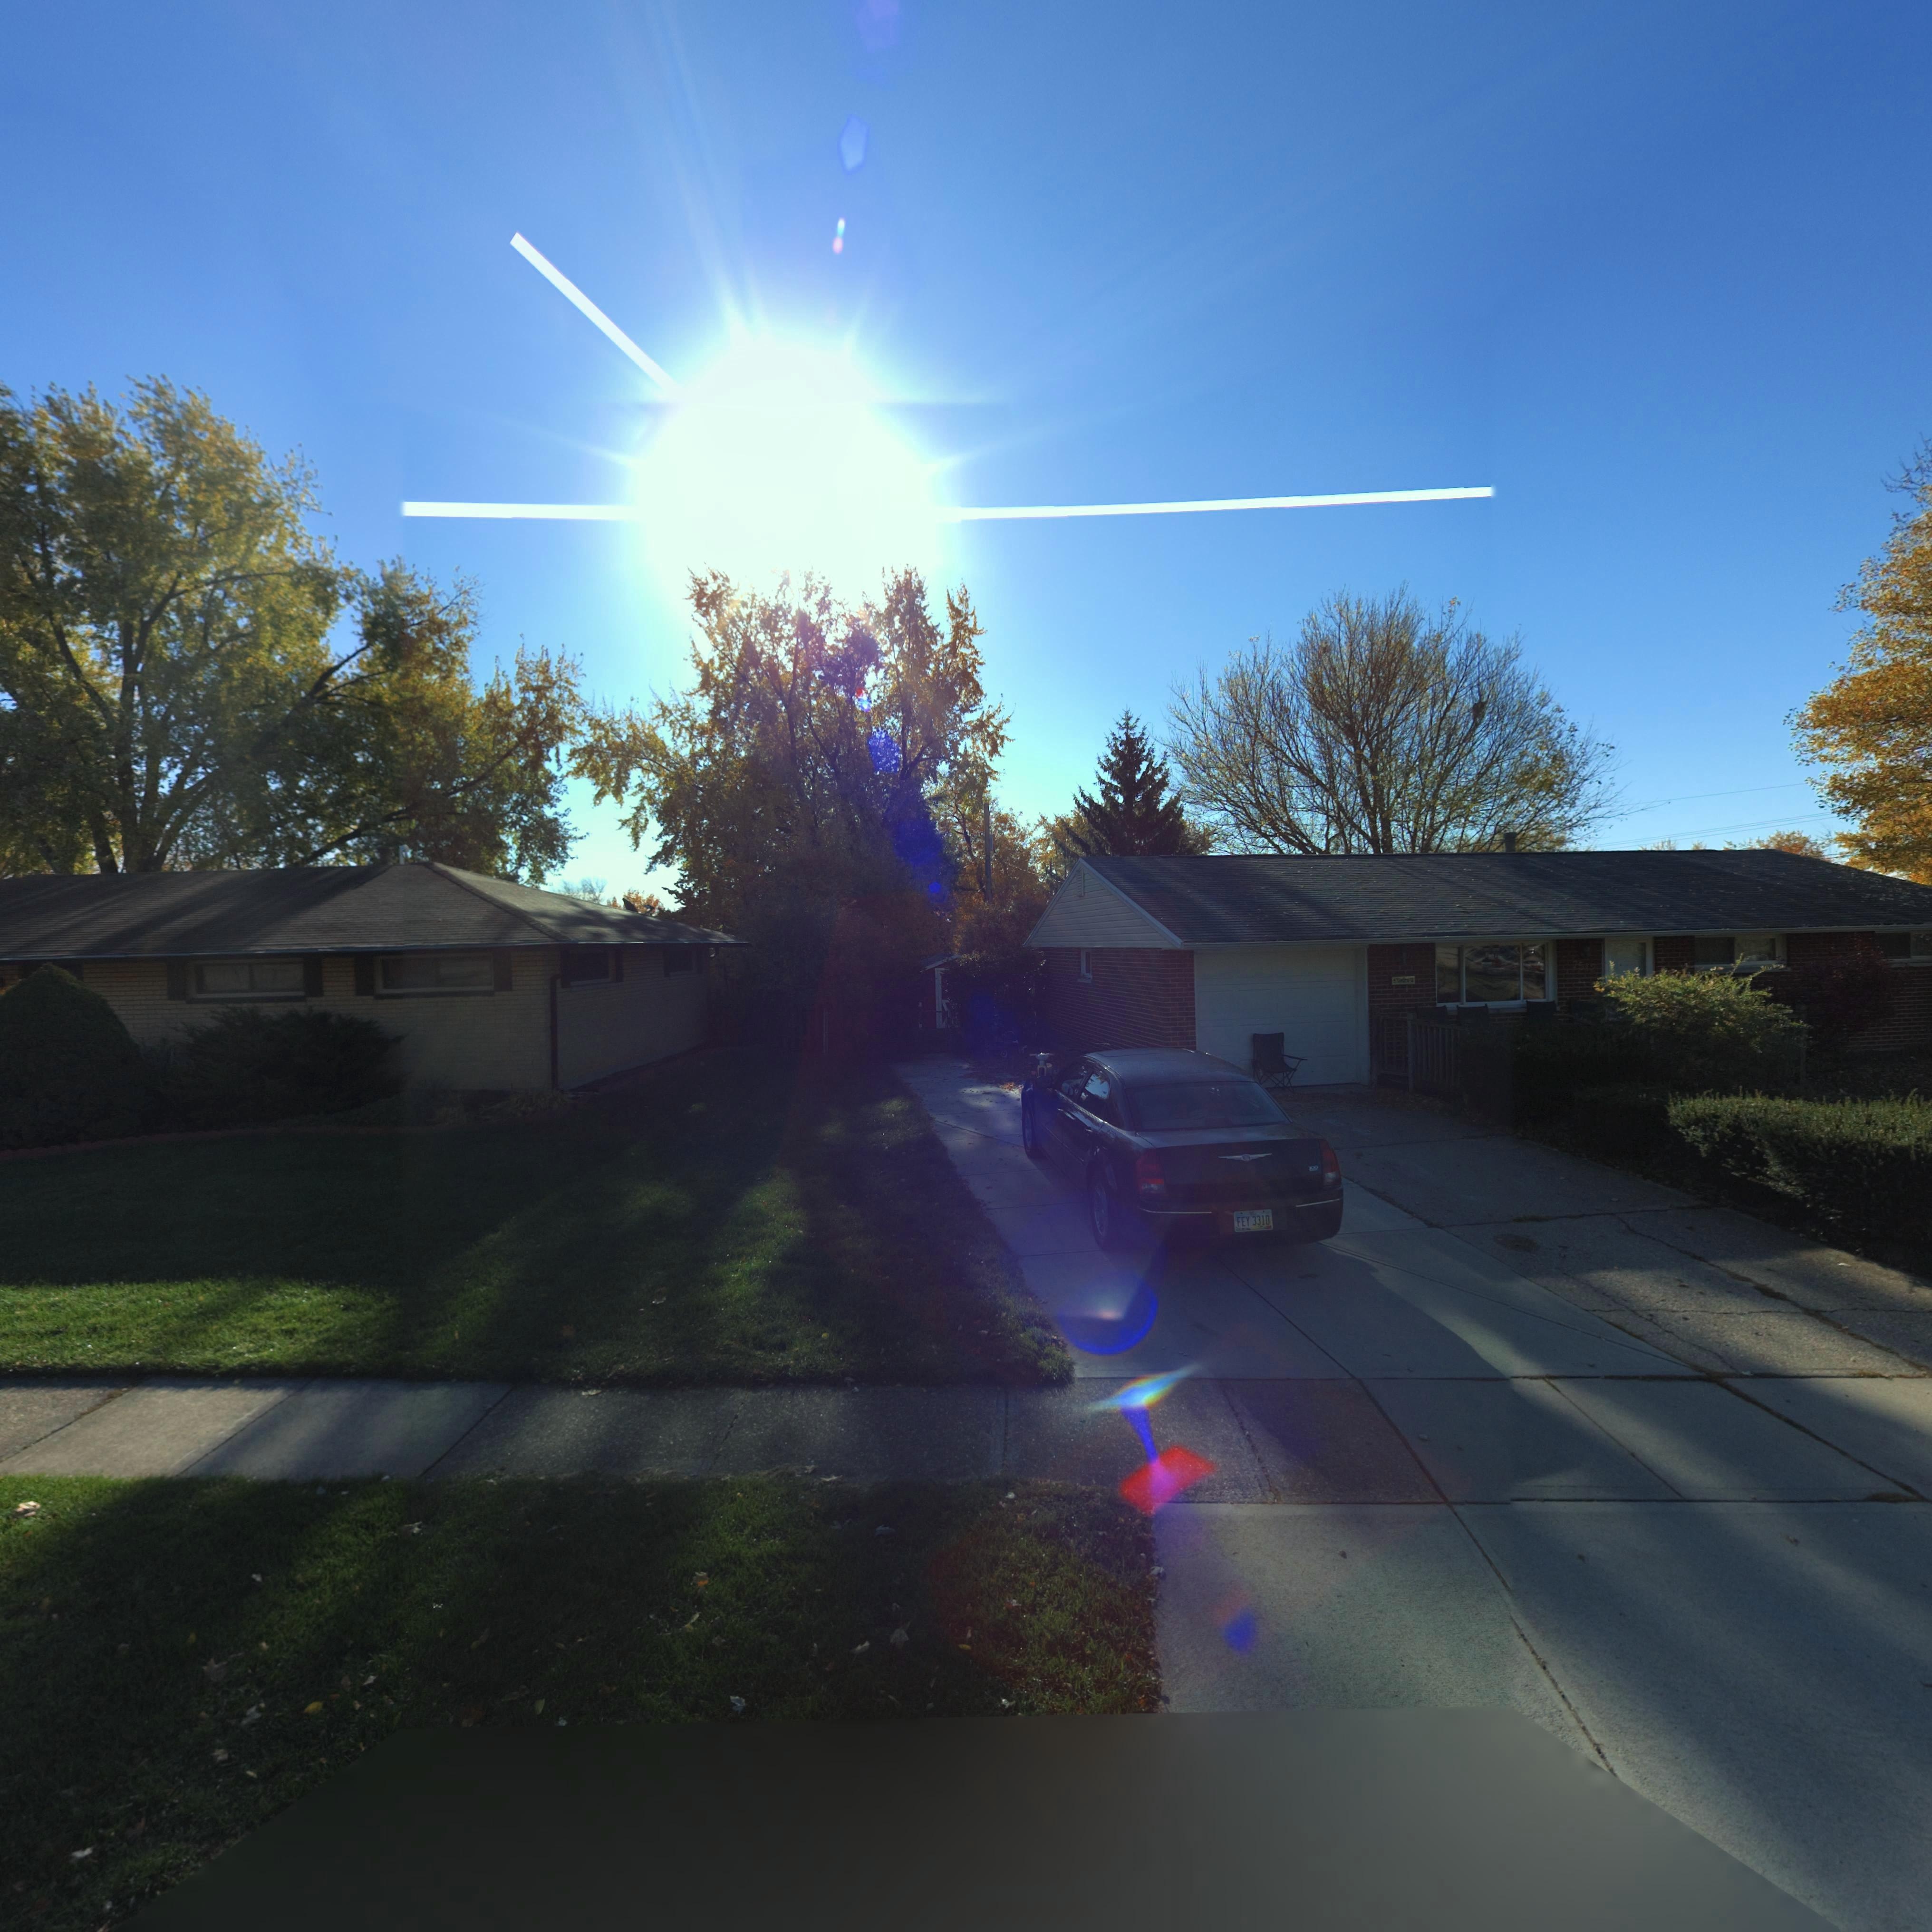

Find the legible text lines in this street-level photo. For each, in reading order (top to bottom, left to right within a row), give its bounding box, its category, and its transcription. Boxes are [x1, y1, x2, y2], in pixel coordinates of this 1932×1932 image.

[1571, 959, 1598, 974] StreetNumber: 7512